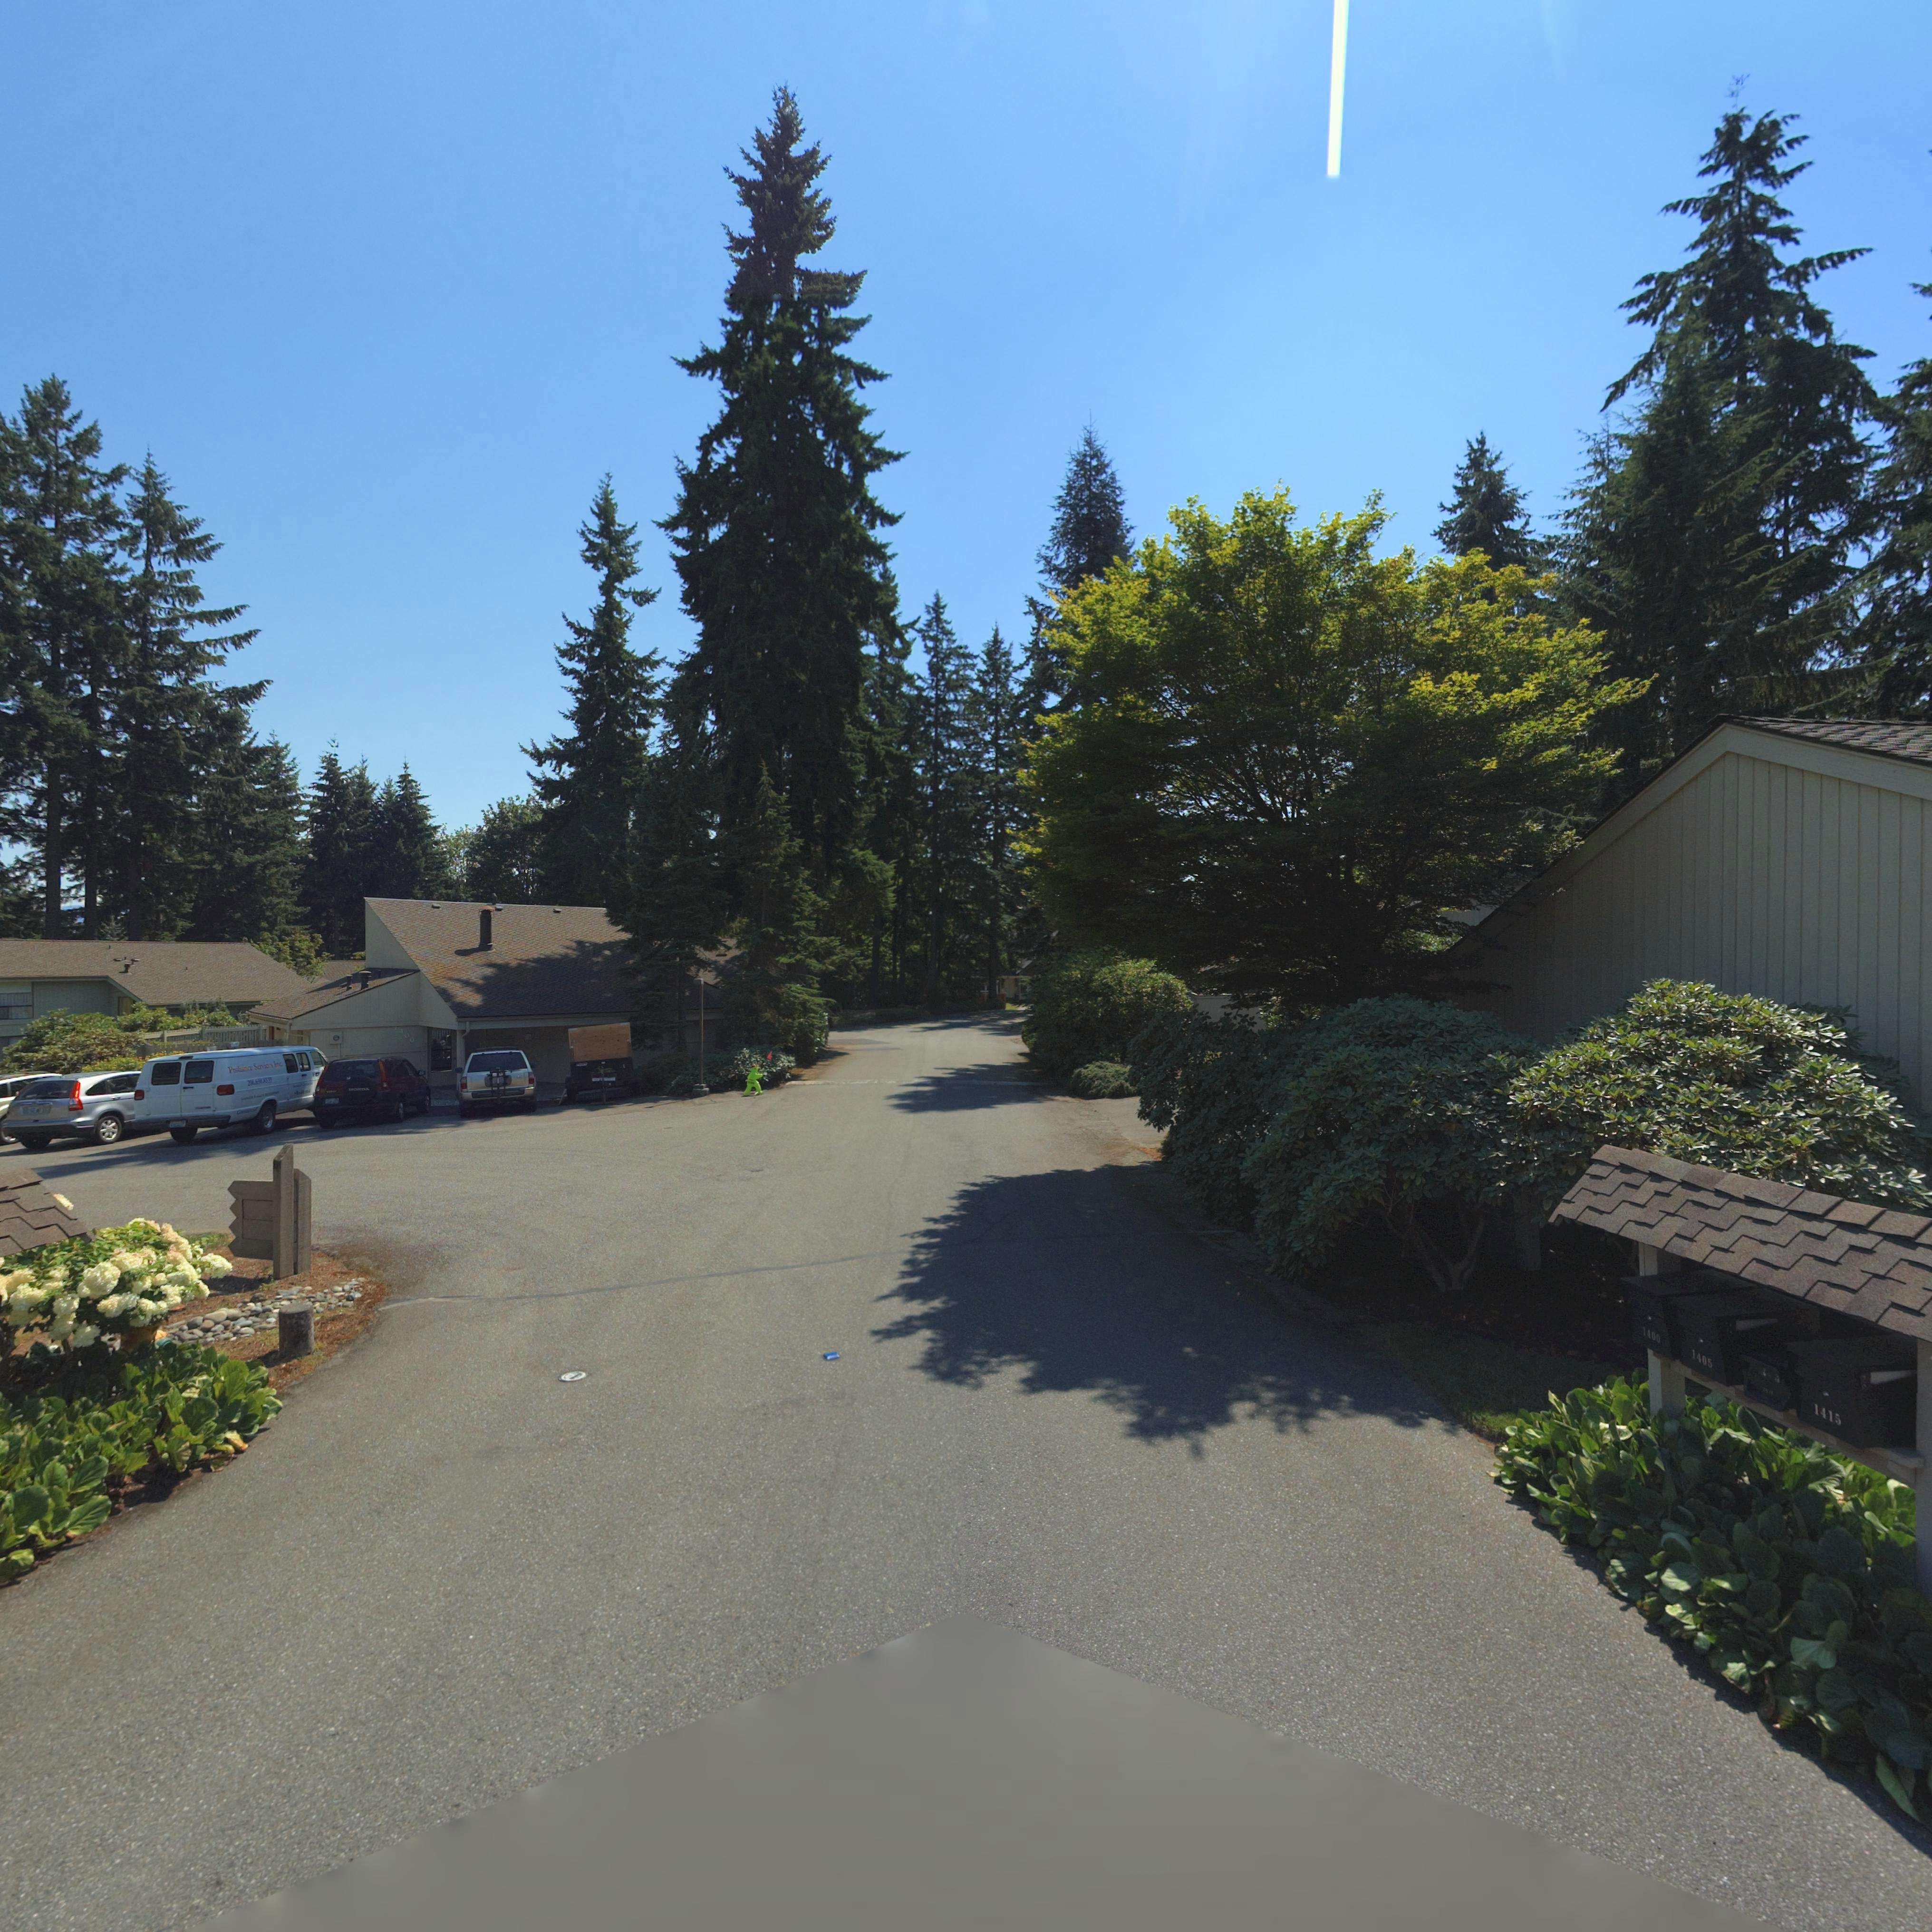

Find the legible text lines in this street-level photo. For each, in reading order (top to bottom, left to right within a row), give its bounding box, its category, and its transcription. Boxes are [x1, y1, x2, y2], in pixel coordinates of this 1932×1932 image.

[395, 1024, 416, 1043] StreetNumber: 1400
[1642, 1326, 1661, 1344] StreetNumber: 1400
[1692, 1348, 1712, 1368] StreetNumber: 1405
[1813, 1401, 1843, 1429] StreetNumber: 1415